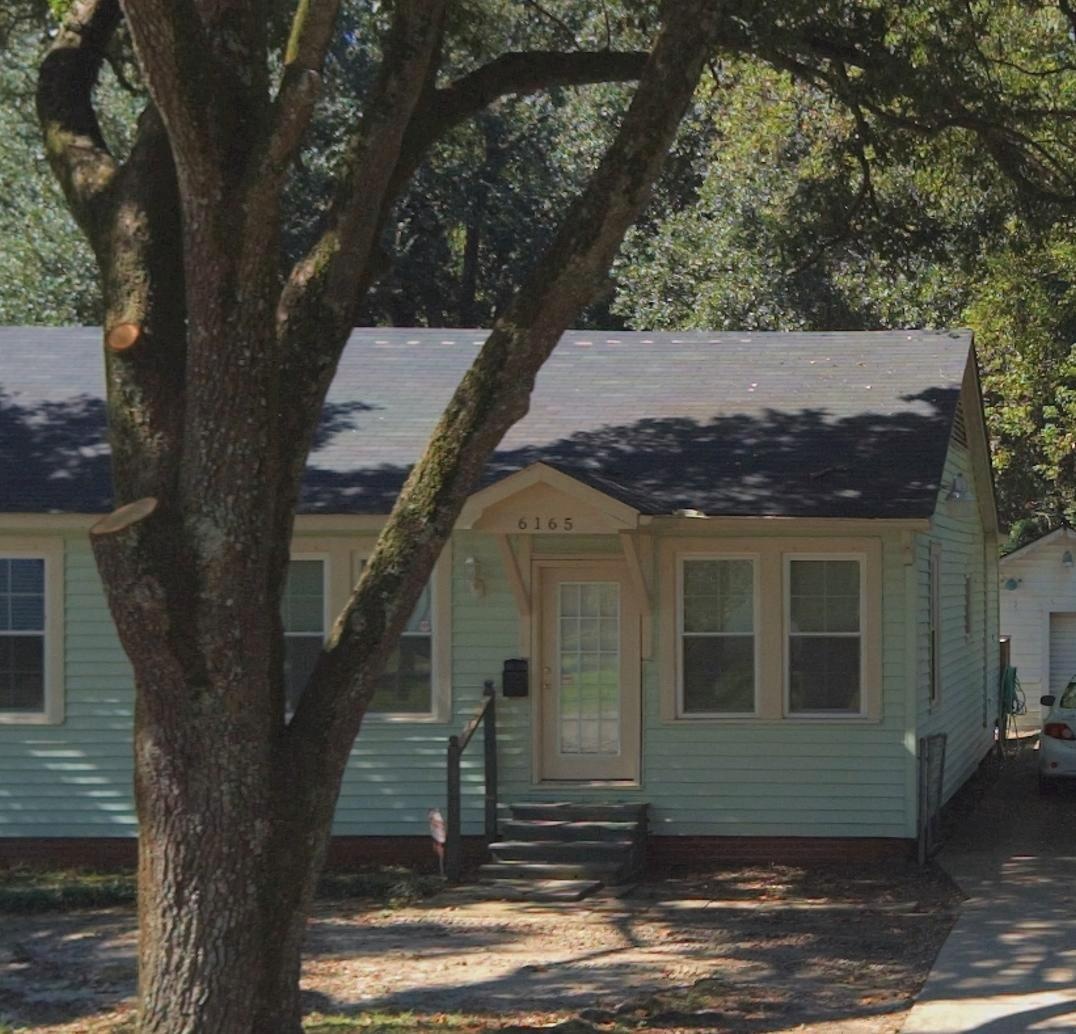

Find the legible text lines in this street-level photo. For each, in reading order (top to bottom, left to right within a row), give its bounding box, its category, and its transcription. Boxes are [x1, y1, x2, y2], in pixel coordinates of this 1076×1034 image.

[518, 516, 573, 531] StreetNumber: 6165